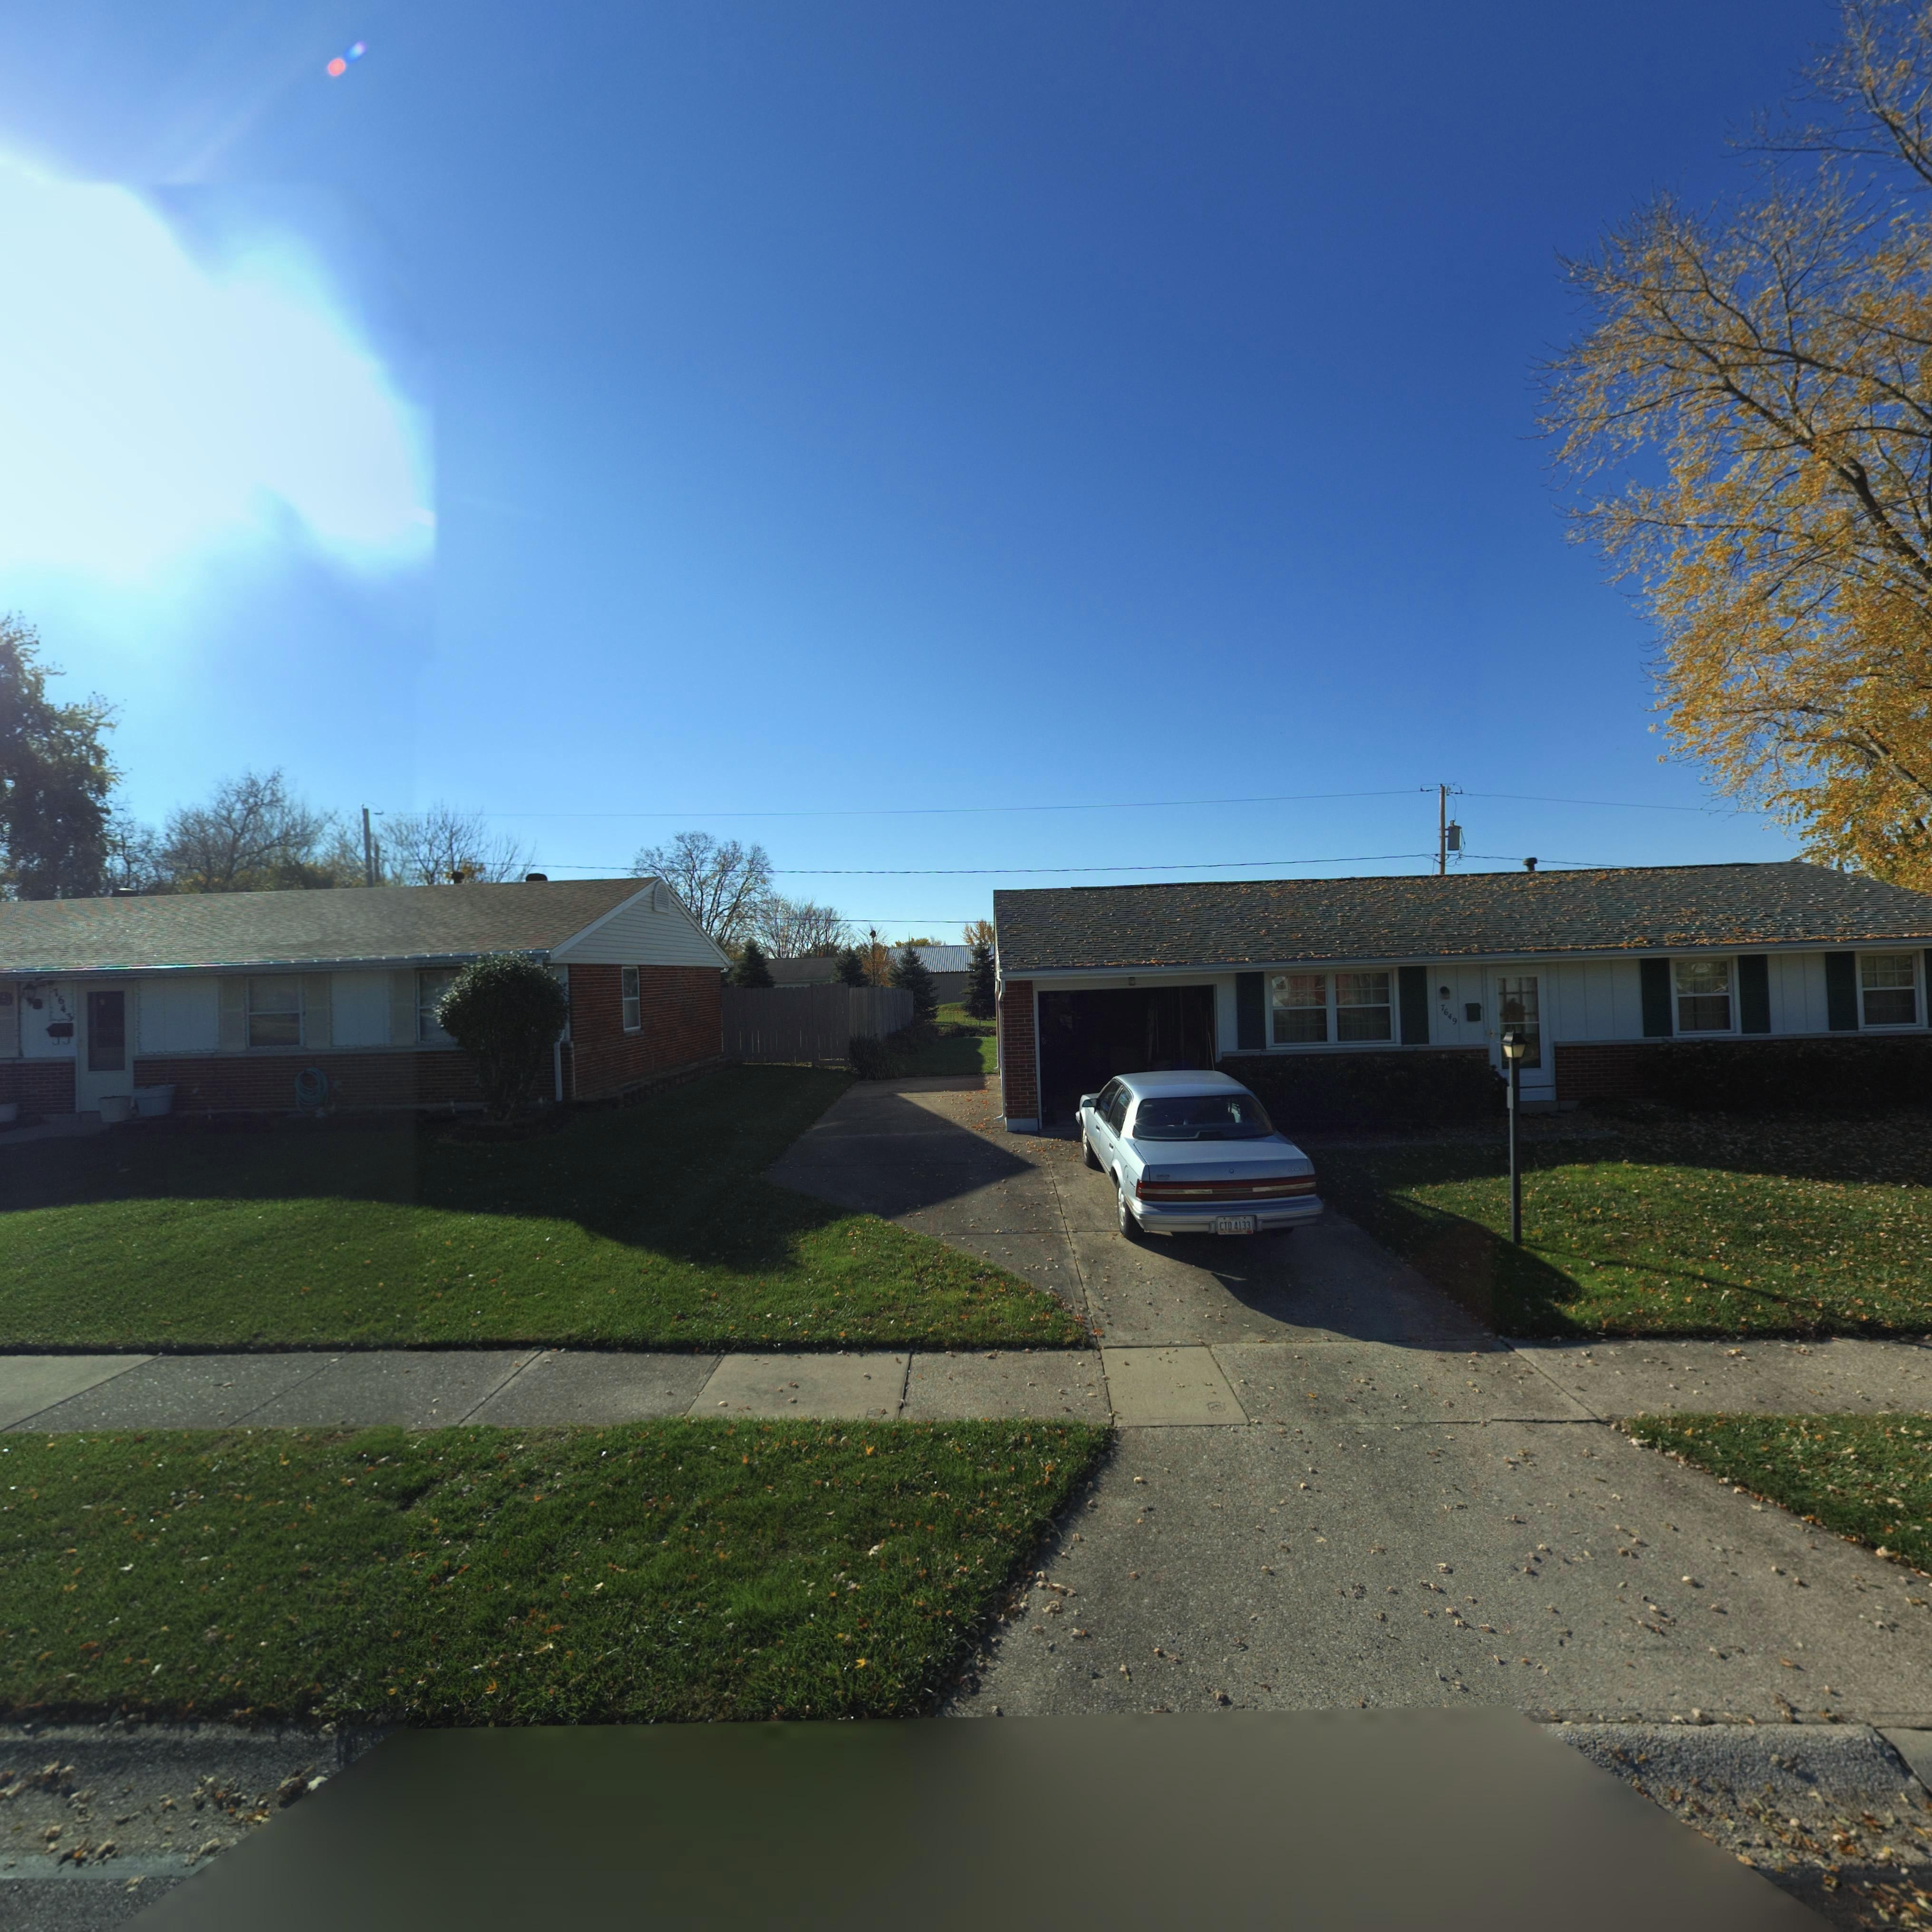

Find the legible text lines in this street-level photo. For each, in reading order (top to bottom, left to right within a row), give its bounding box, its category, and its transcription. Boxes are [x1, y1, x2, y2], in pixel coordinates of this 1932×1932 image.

[50, 986, 75, 1024] StreetNumber: 7643
[1439, 1004, 1459, 1027] StreetNumber: 7649